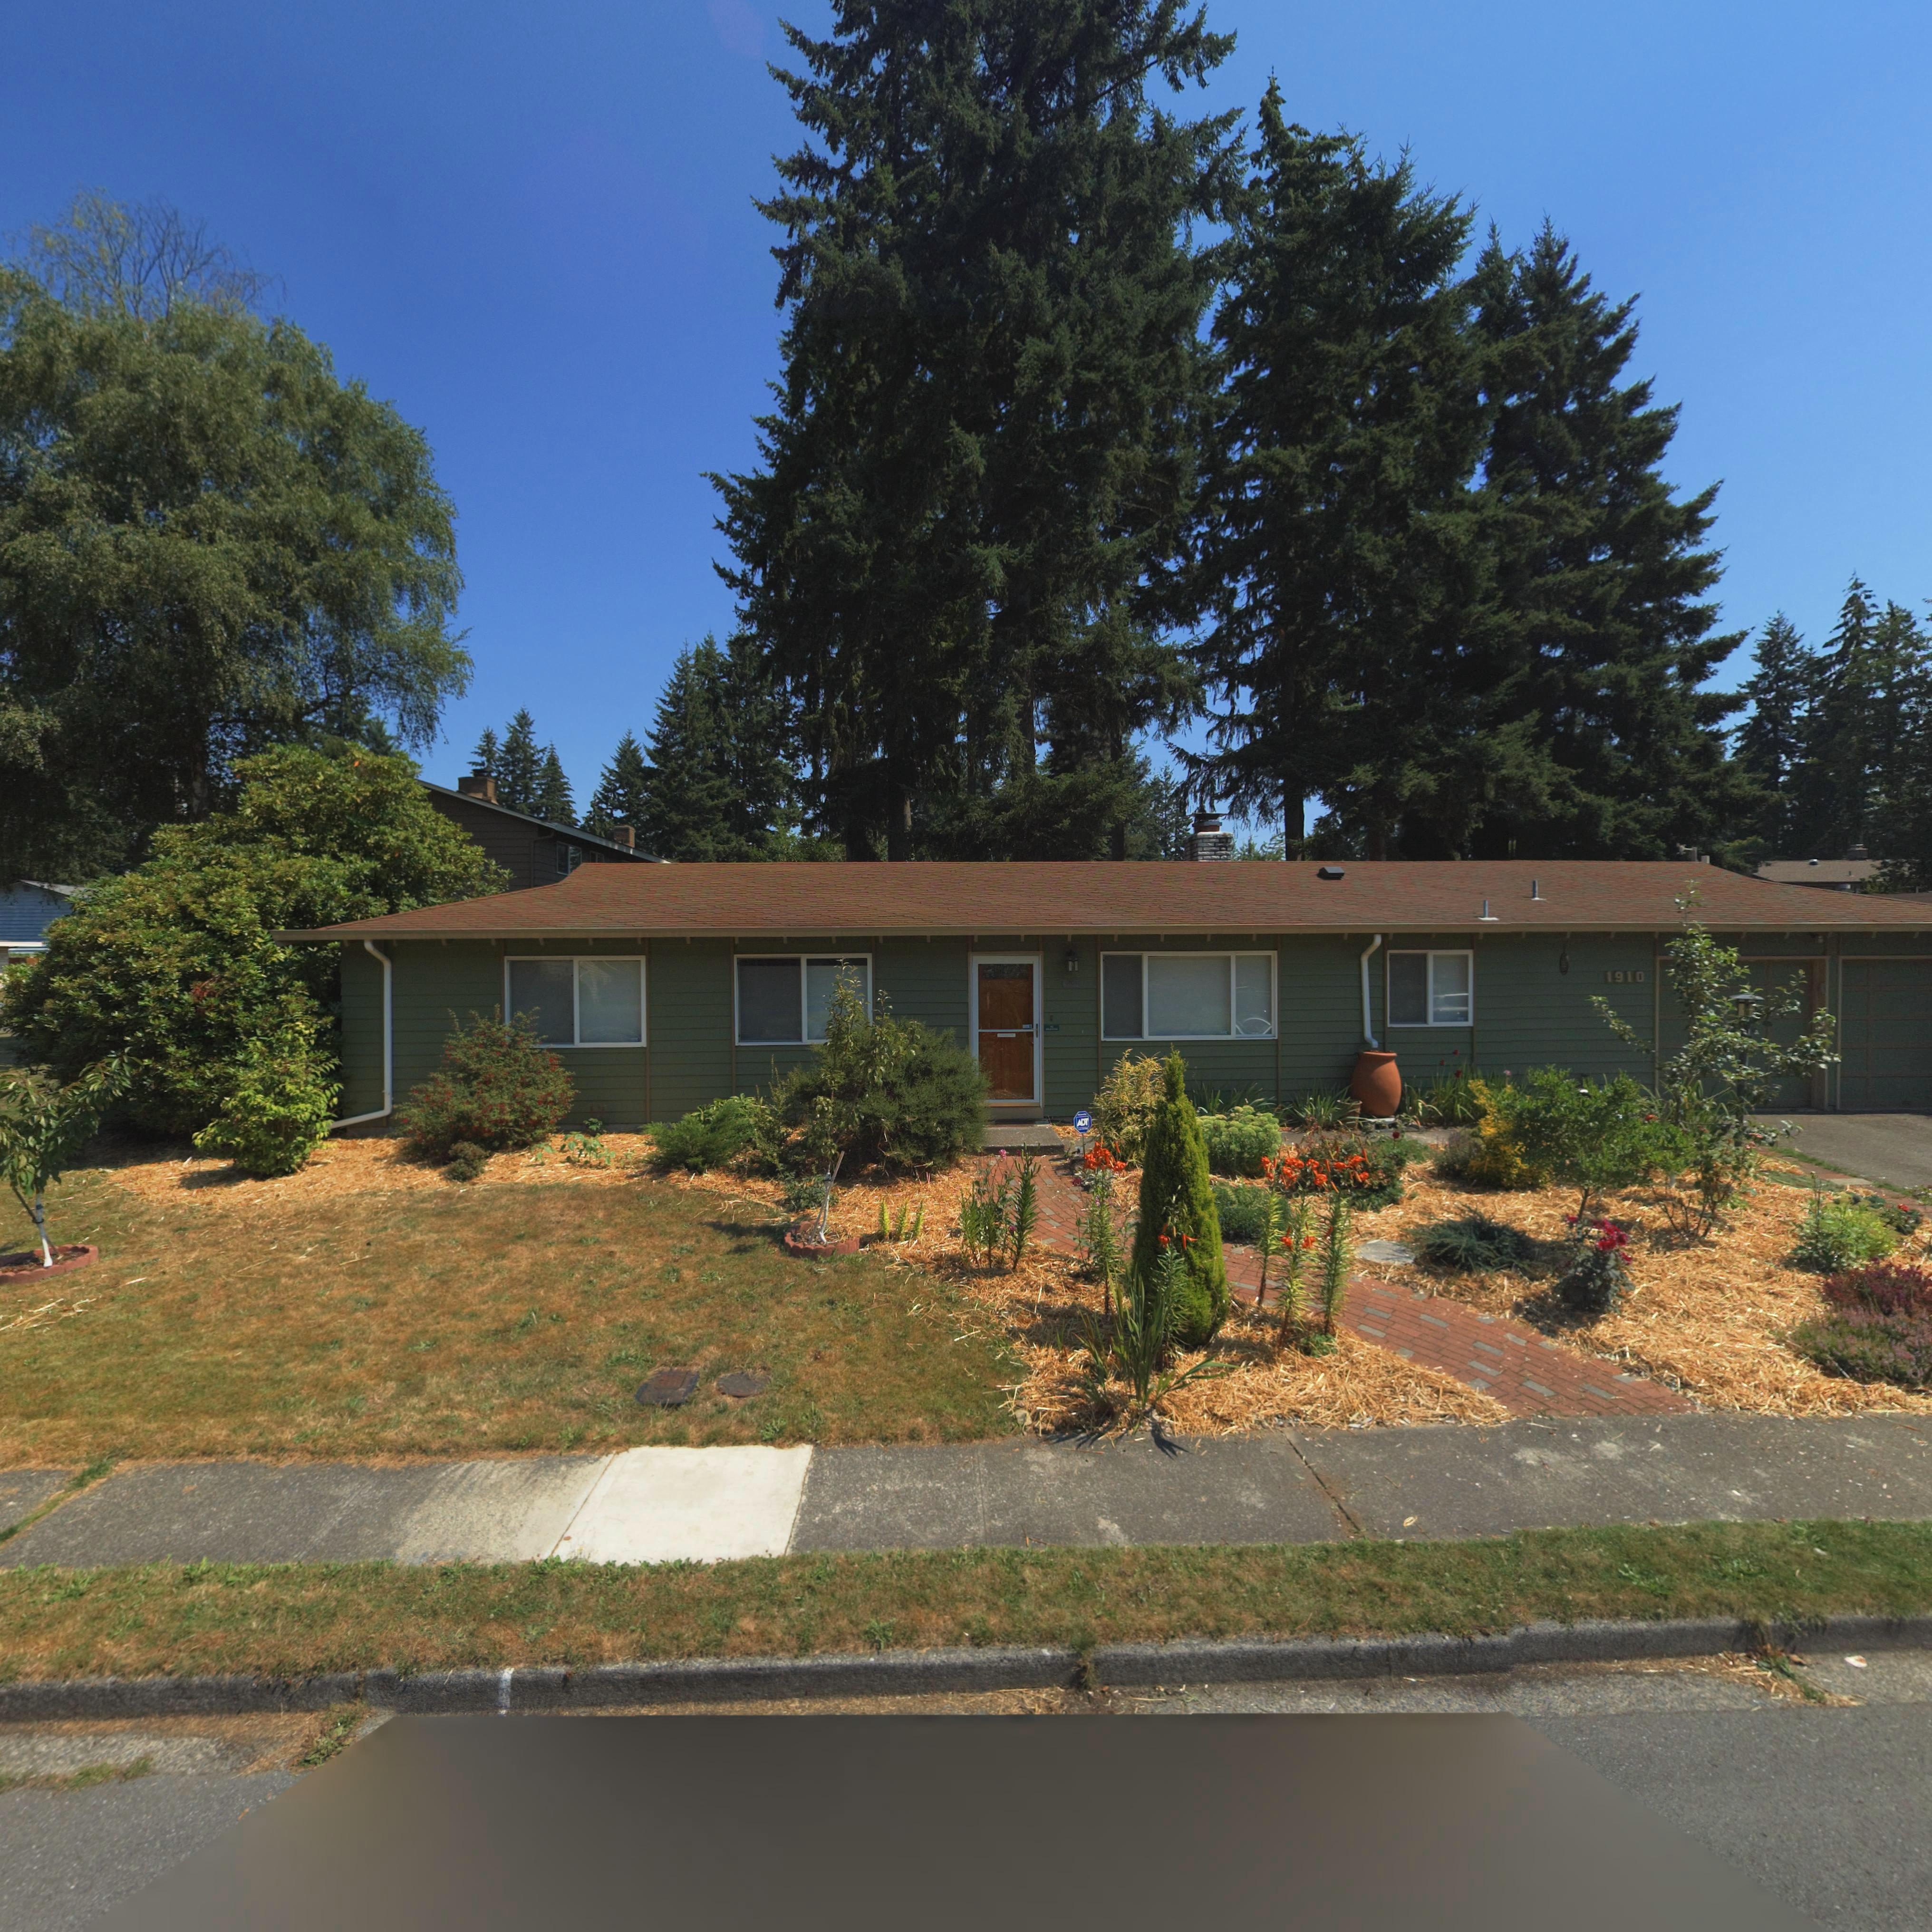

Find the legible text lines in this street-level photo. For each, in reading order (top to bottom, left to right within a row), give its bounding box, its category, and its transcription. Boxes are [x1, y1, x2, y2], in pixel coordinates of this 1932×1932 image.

[1605, 970, 1645, 983] StreetNumber: 1910